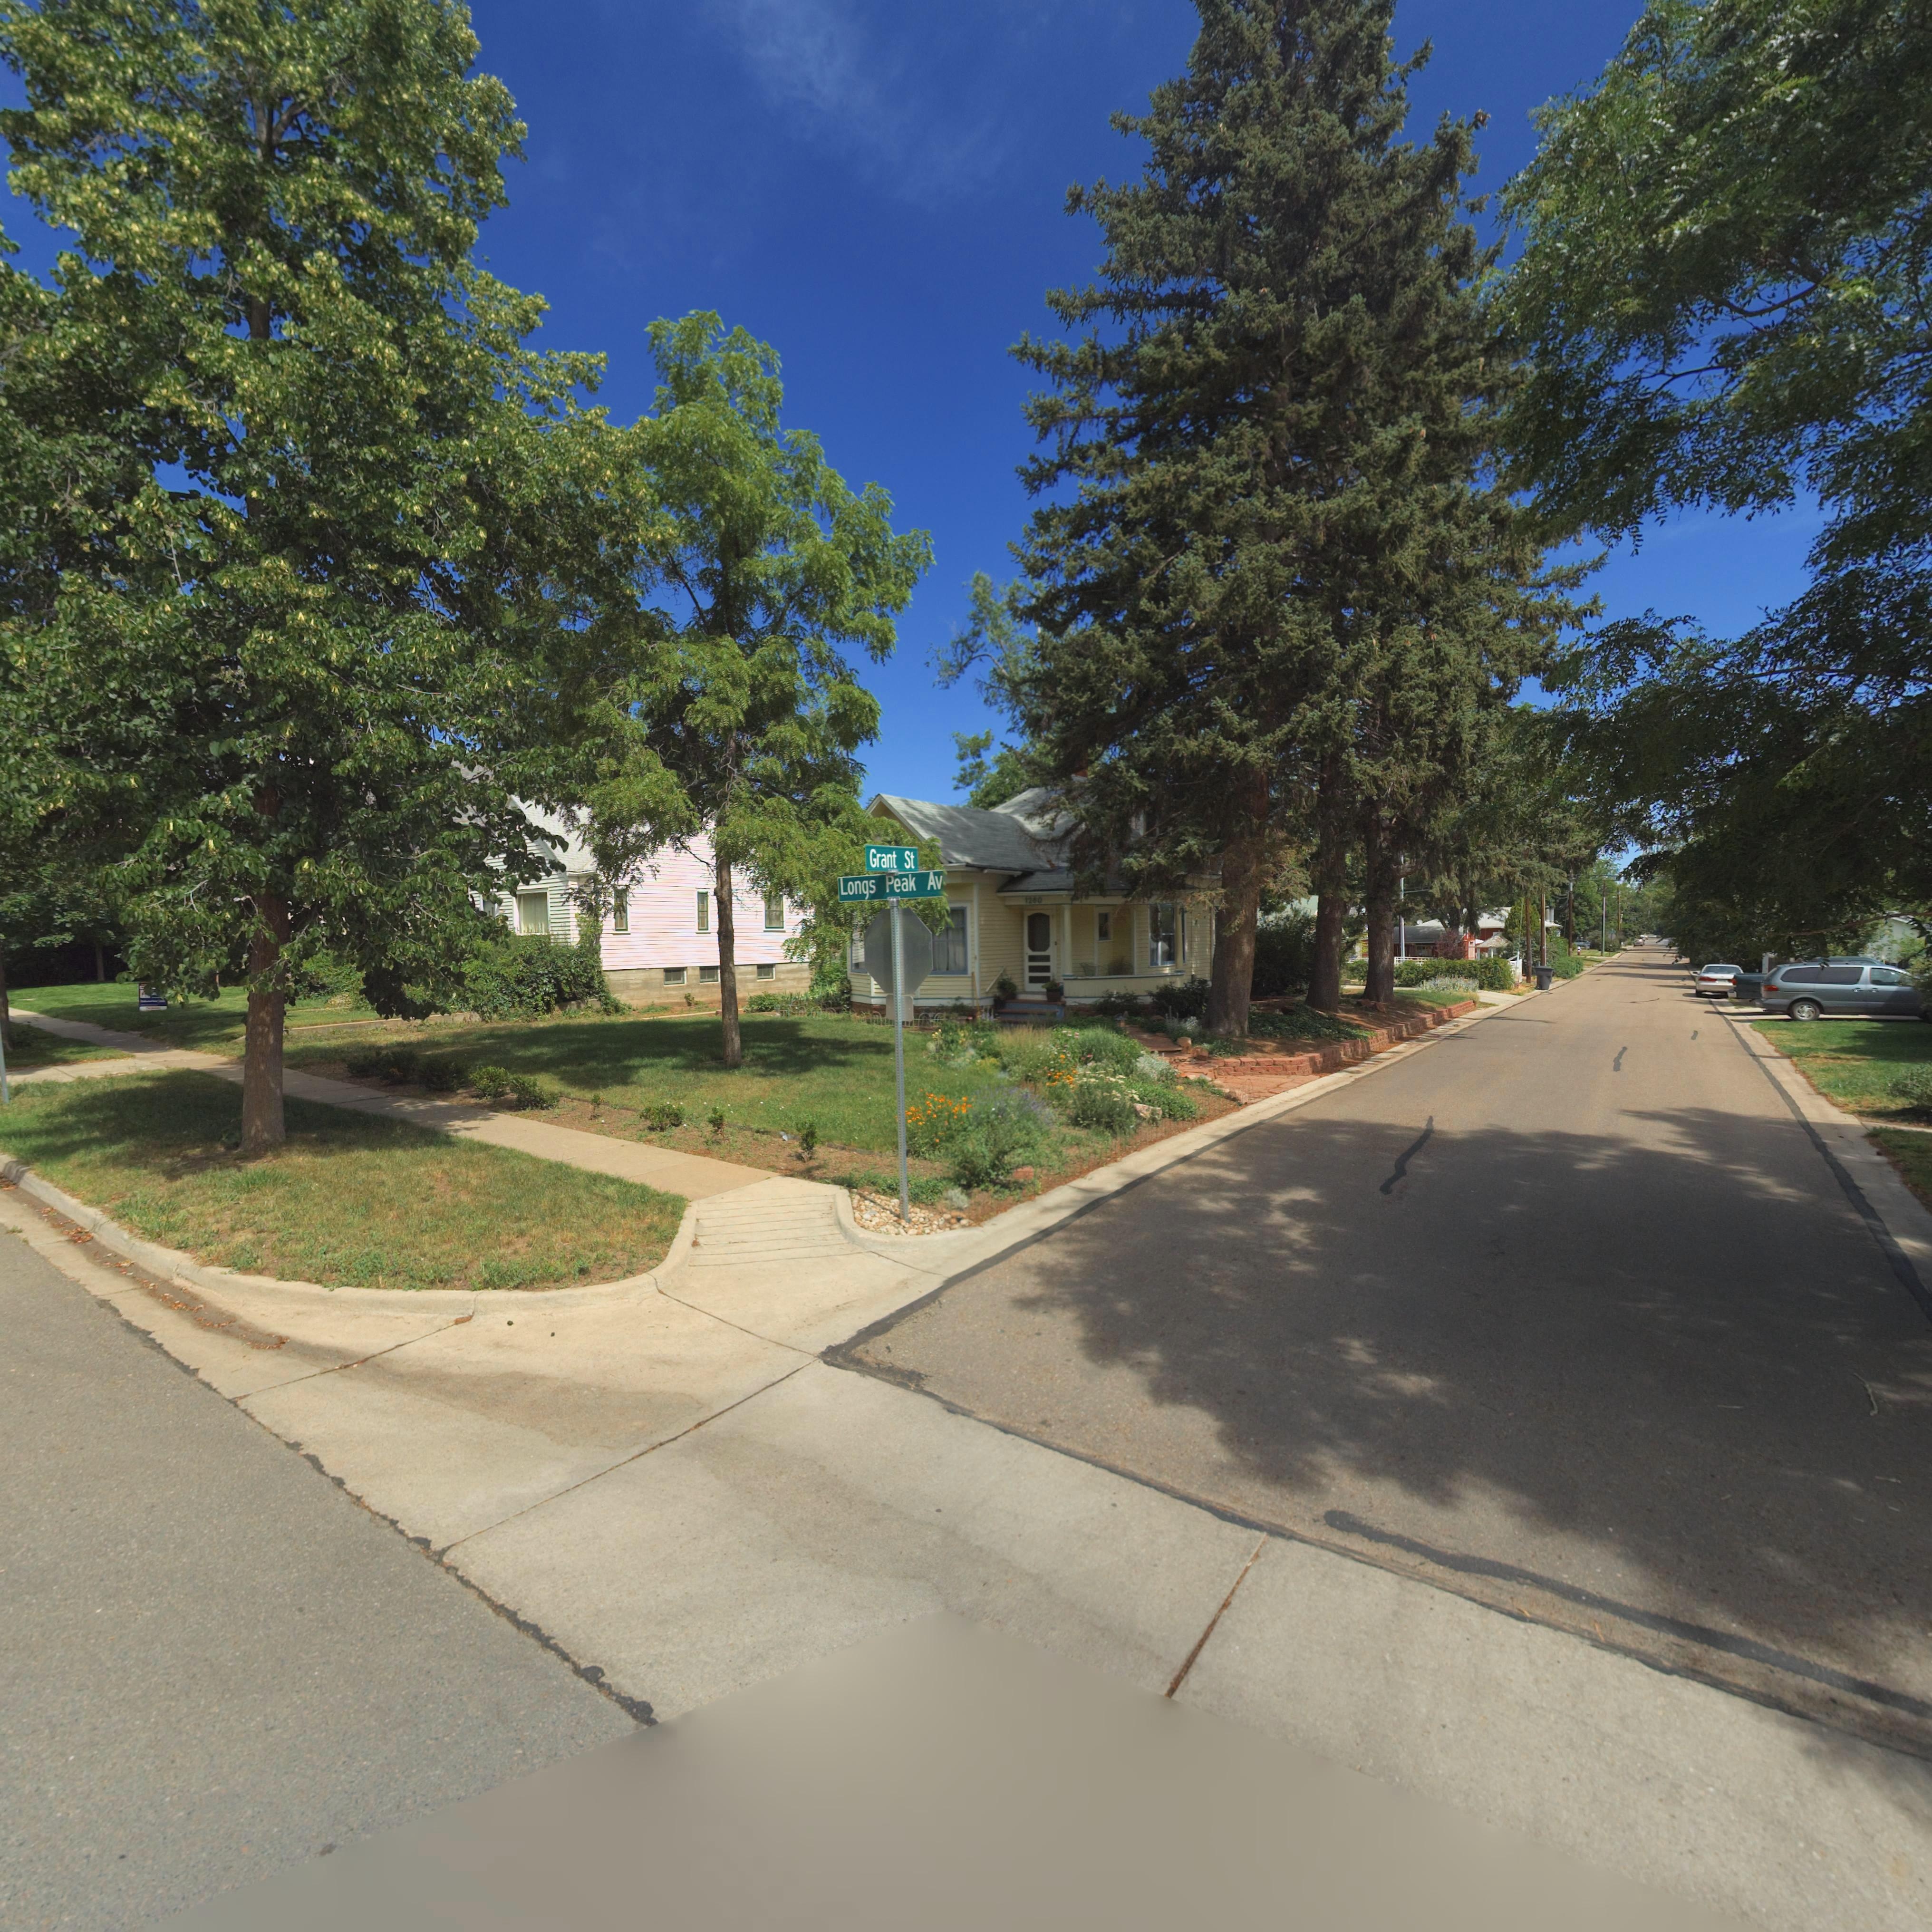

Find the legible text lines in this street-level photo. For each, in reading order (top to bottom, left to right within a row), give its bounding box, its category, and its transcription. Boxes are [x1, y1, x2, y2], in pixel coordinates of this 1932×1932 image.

[869, 848, 915, 869] StreetName: Grant St
[839, 871, 944, 900] StreetName: Longs Peak Av
[1024, 897, 1042, 904] StreetNumber: 12*0